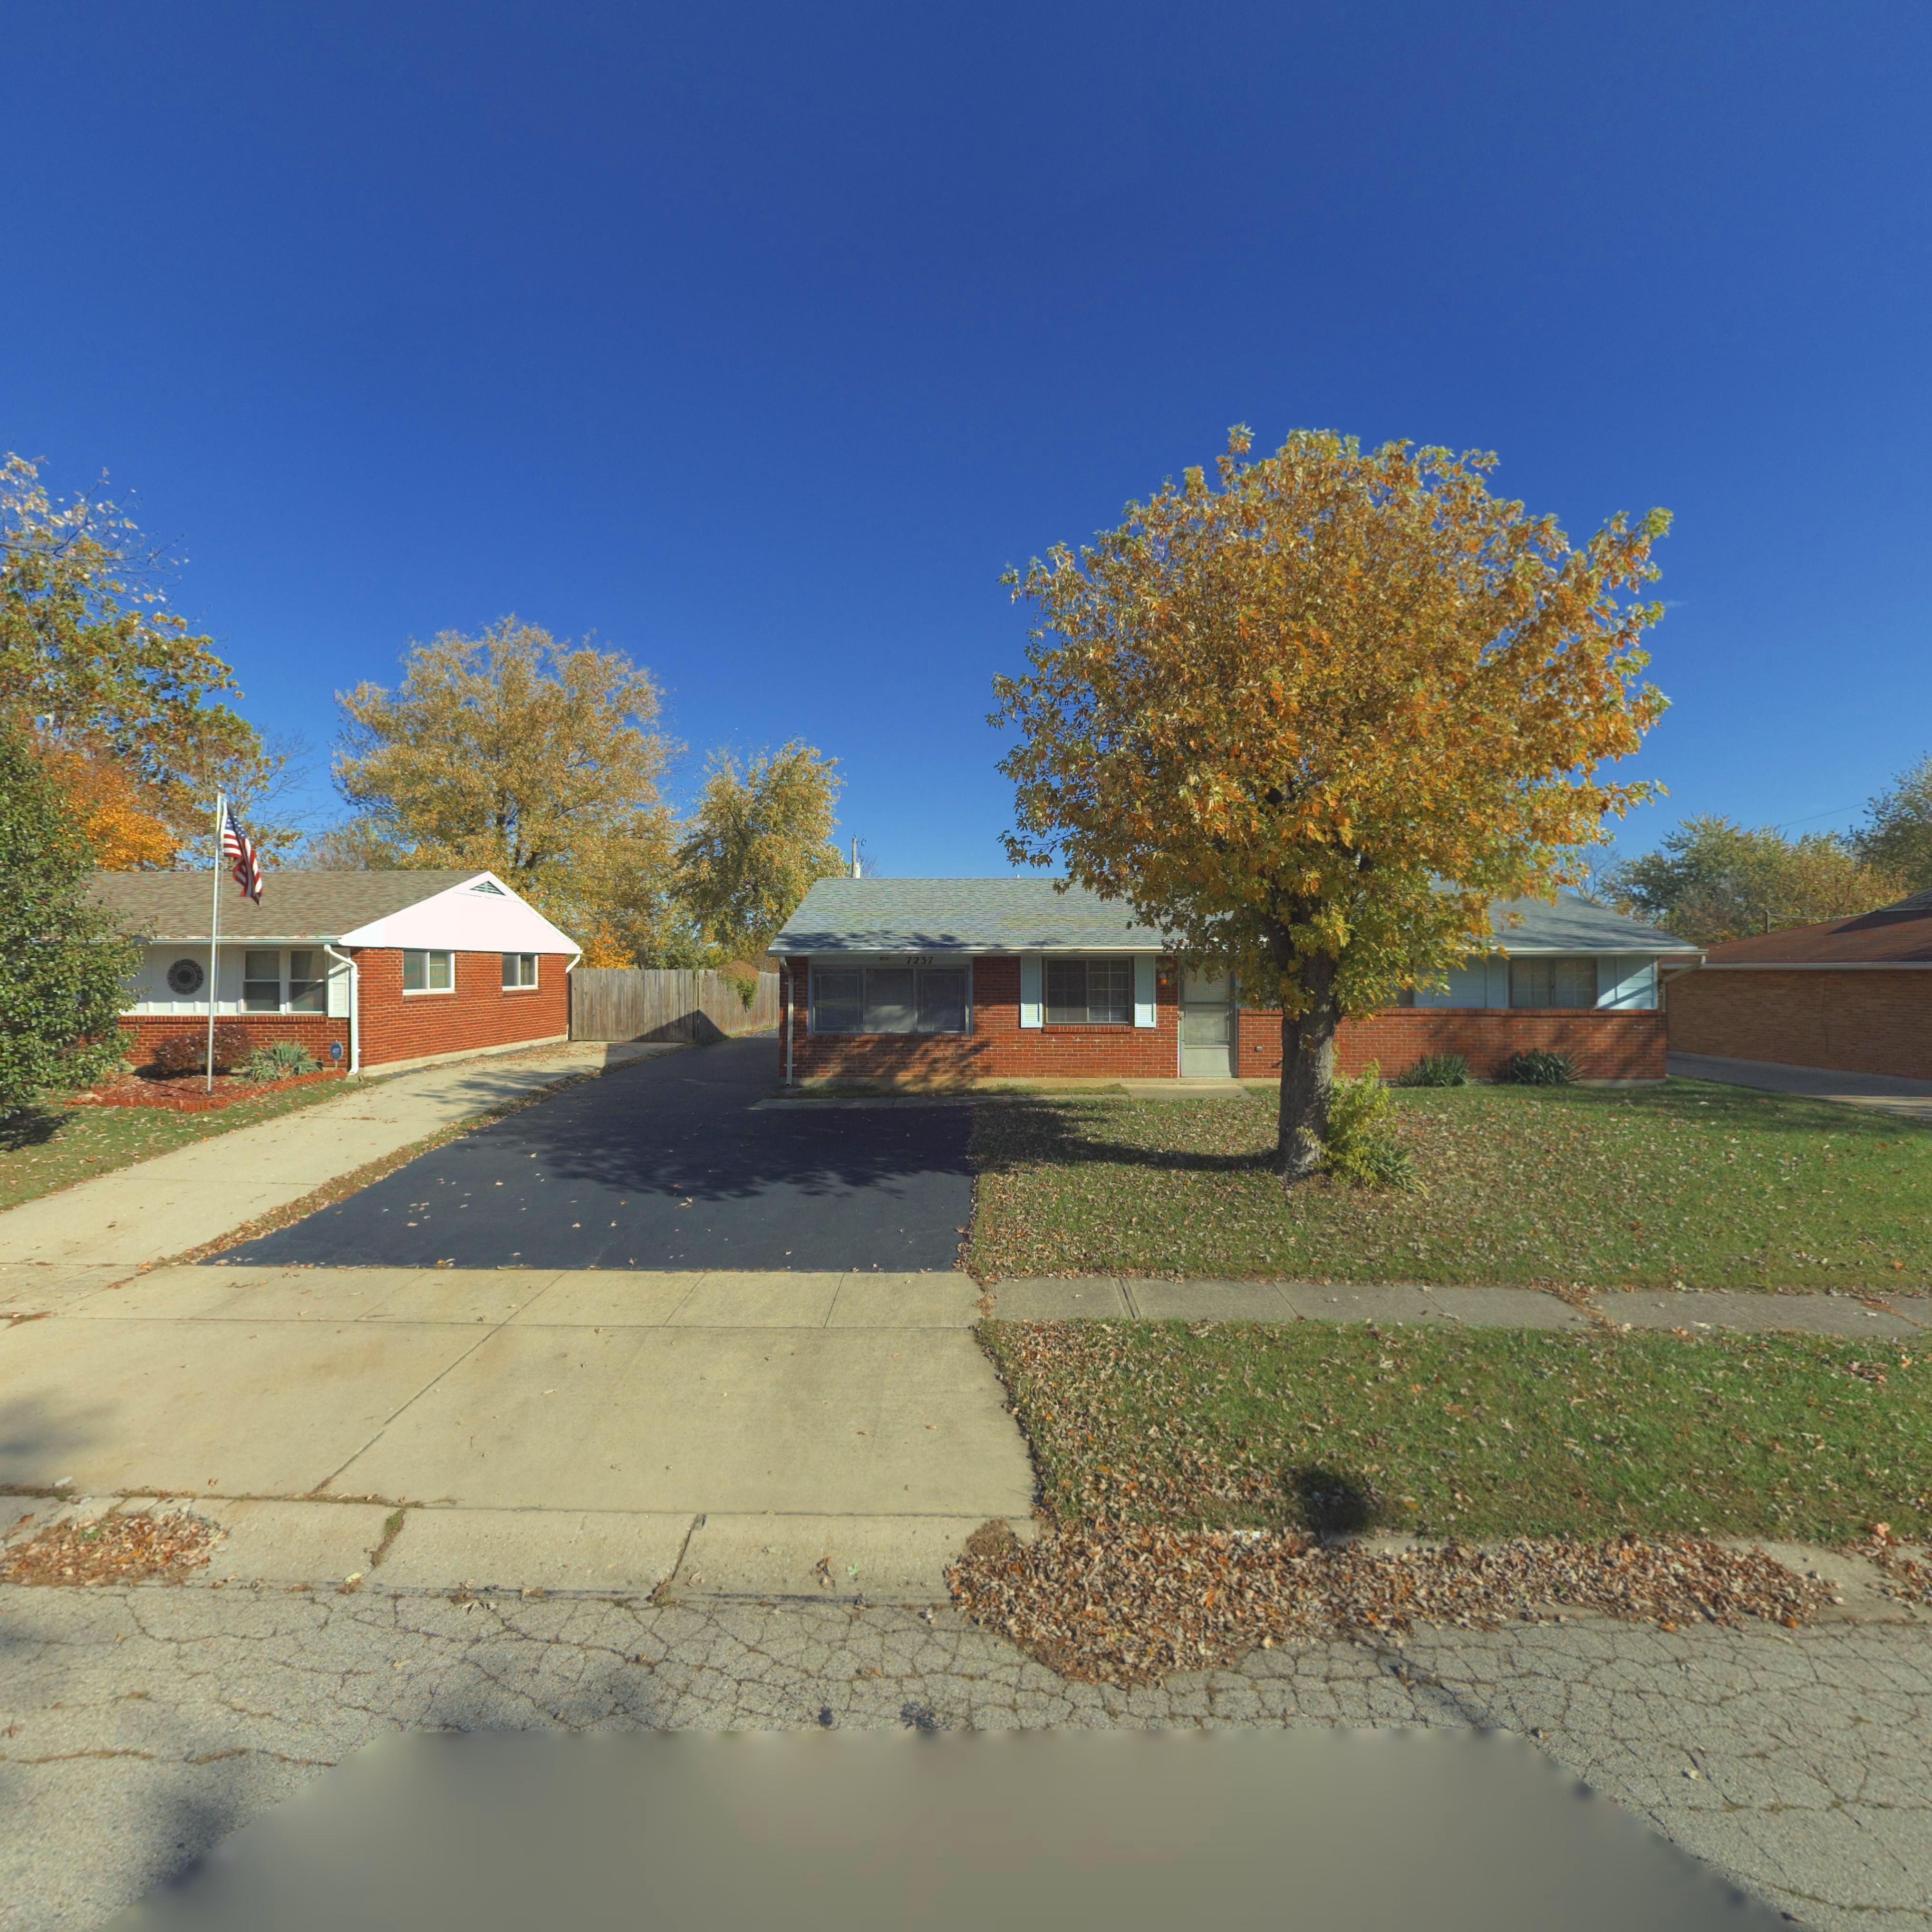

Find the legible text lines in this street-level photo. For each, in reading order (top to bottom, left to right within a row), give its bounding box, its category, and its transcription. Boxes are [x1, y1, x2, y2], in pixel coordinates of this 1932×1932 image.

[906, 956, 935, 966] StreetNumber: 7237